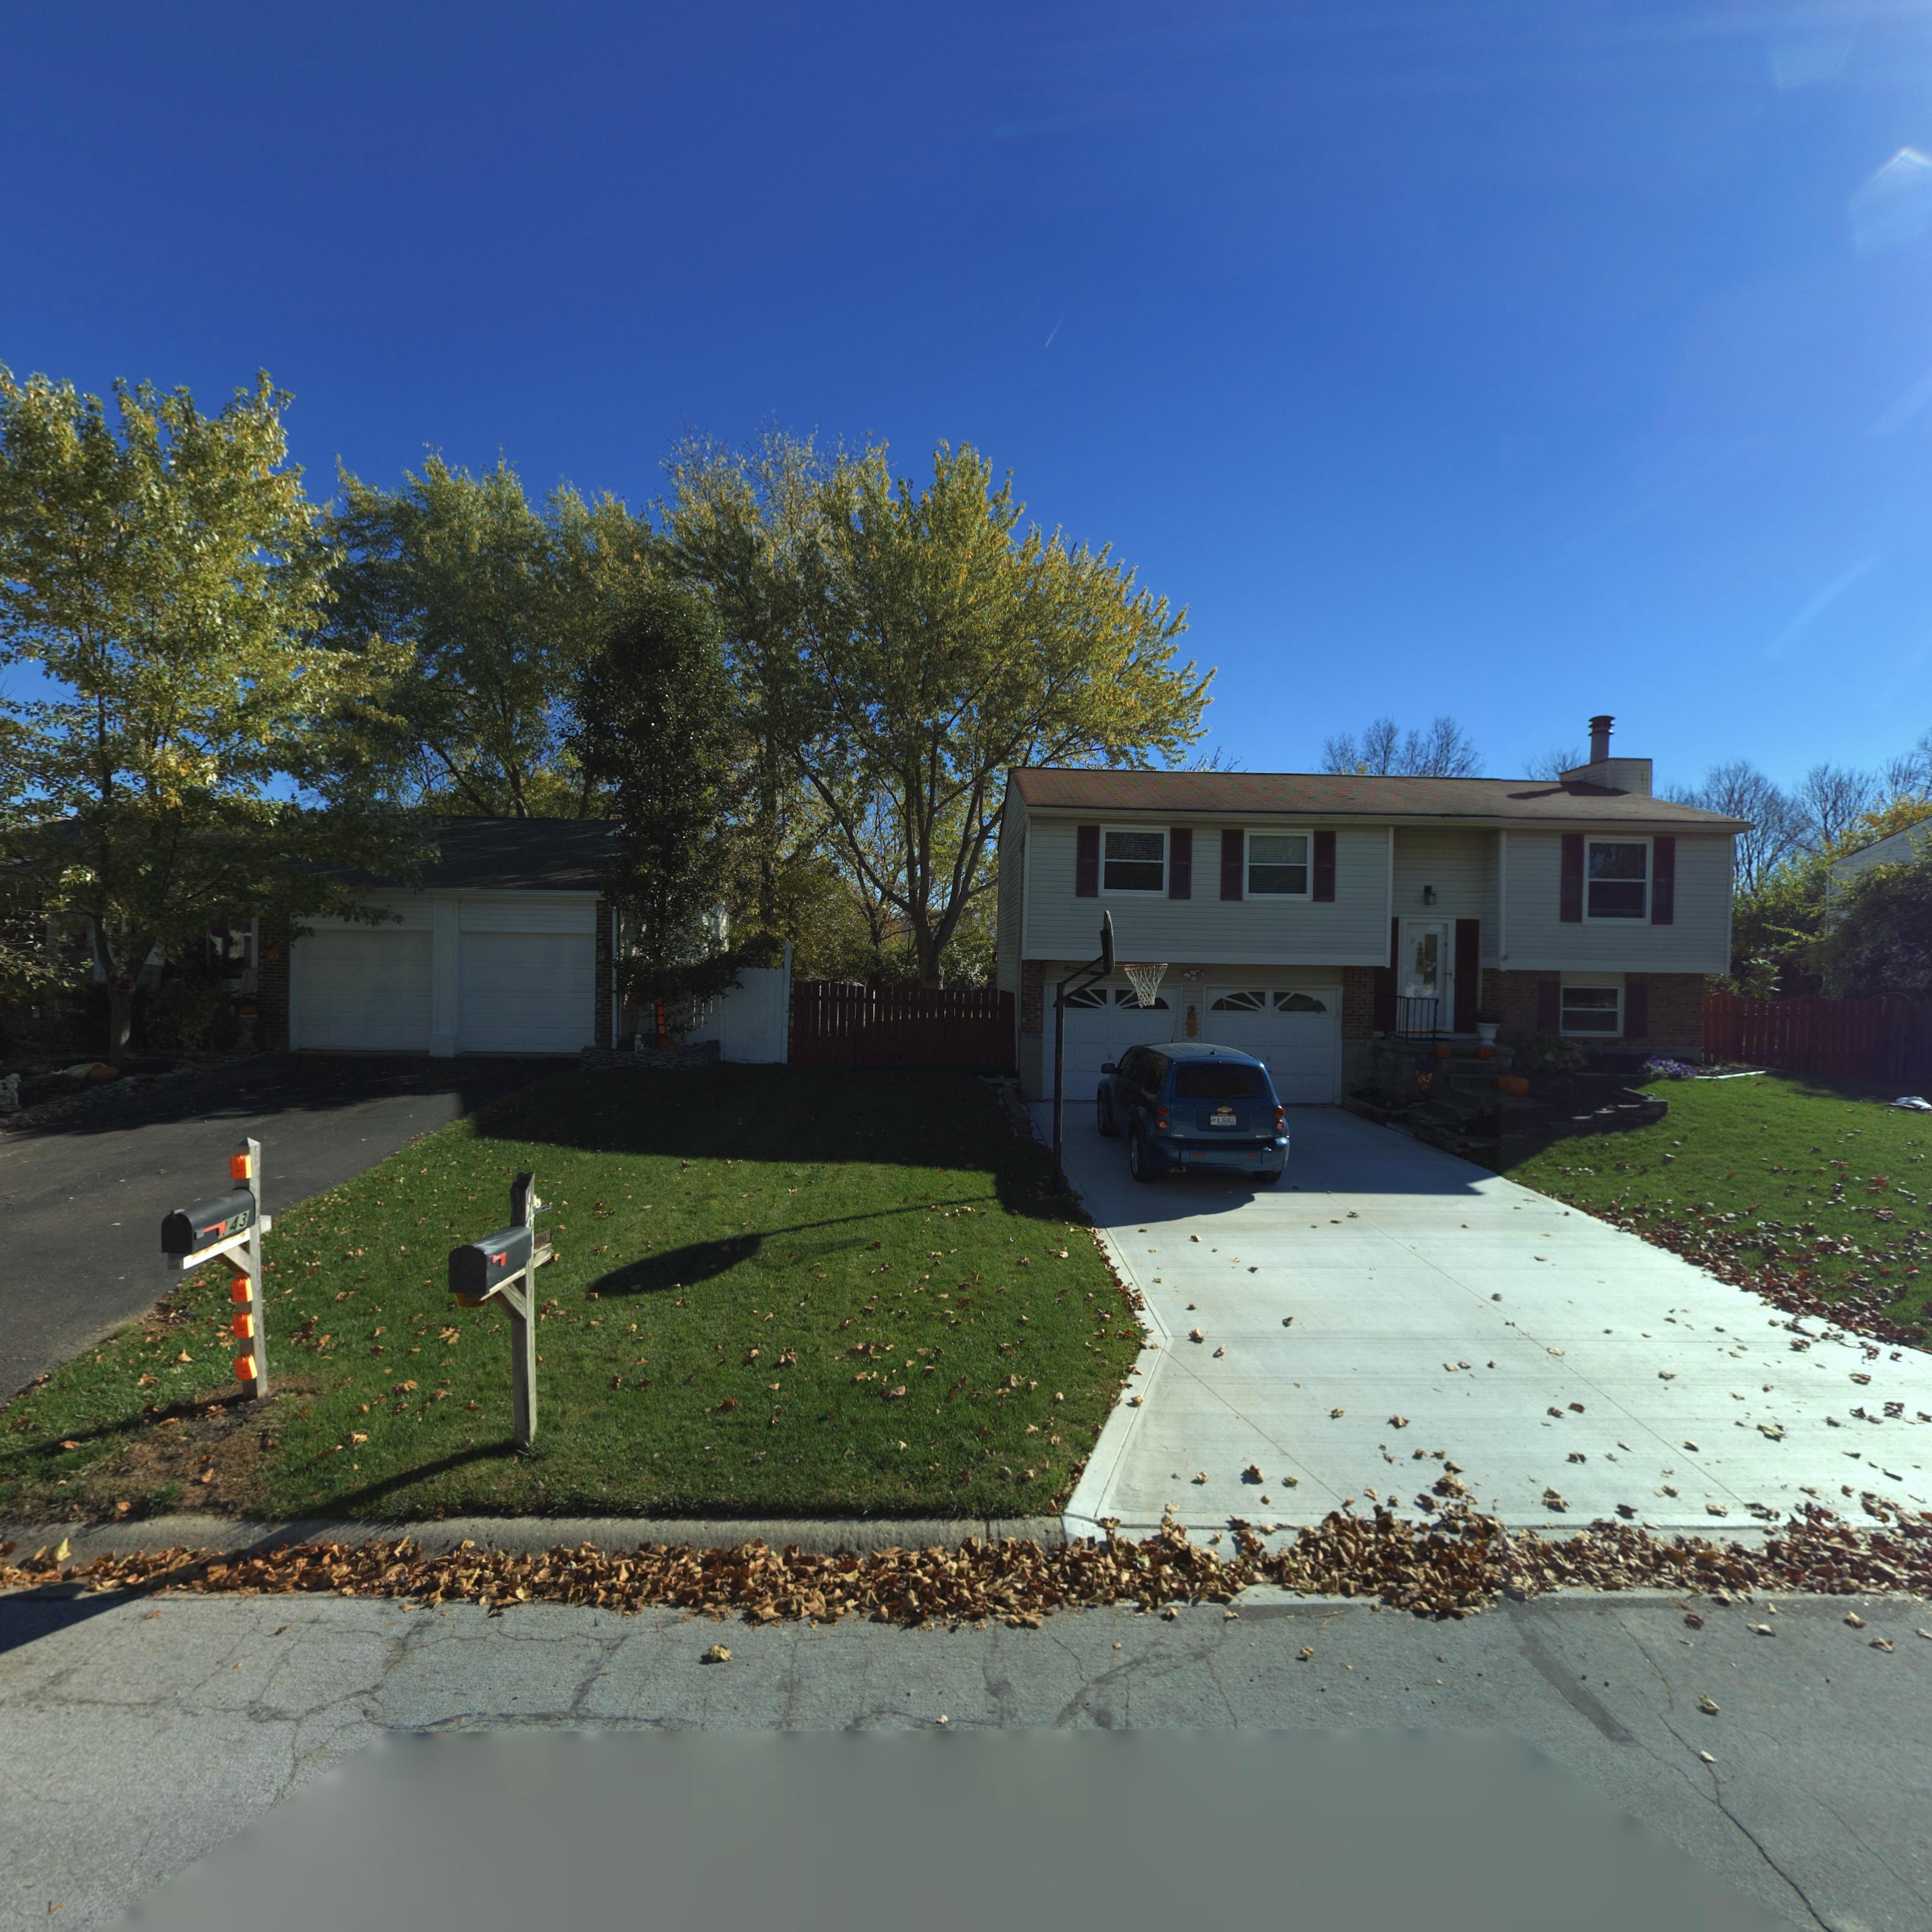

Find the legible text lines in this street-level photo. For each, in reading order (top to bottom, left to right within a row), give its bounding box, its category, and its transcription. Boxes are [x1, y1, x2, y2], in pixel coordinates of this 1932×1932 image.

[227, 1209, 249, 1233] StreetNumber: 43
[524, 1187, 534, 1228] StreetNumber: 14